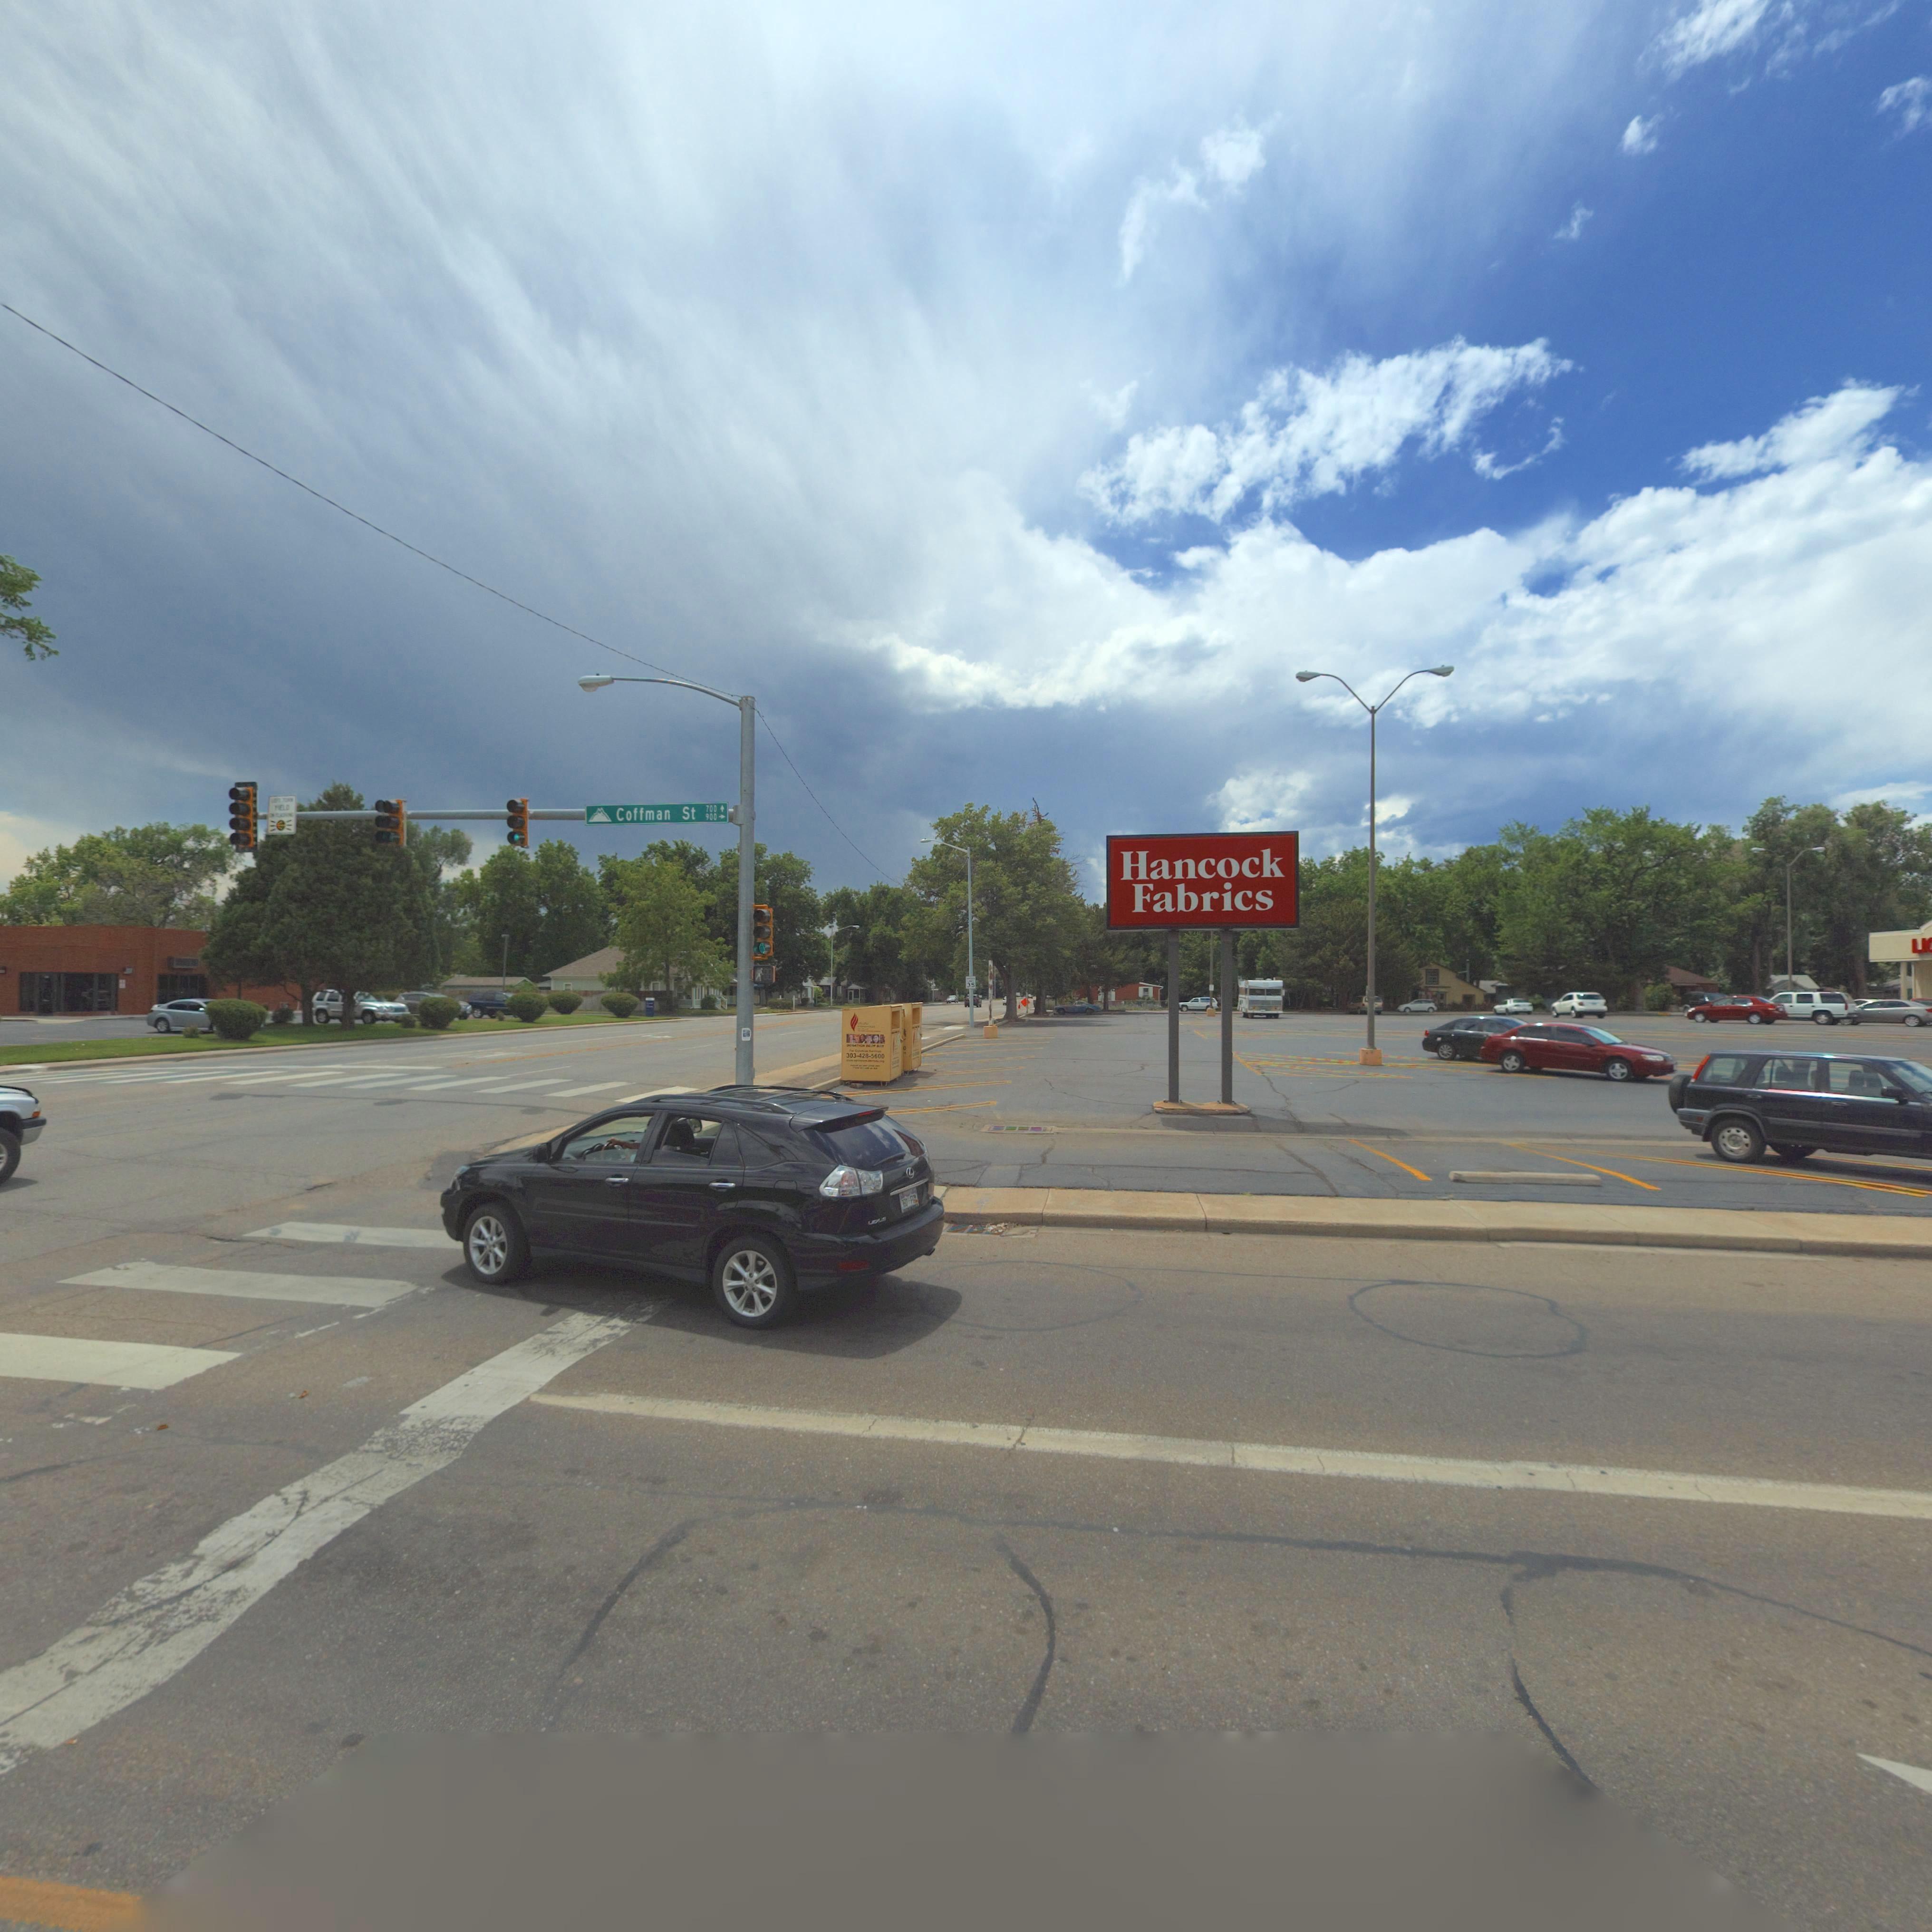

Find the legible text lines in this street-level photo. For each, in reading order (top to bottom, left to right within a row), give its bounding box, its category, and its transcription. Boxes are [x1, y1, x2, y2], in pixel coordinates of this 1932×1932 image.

[616, 806, 696, 821] StreetName: Coffman St
[705, 805, 716, 812] StreetNumberRange: 700
[705, 813, 724, 820] StreetNumberRange: 900 ->
[1120, 848, 1285, 880] BusinessName: Hancock
[1131, 882, 1274, 912] BusinessName: Fabrics